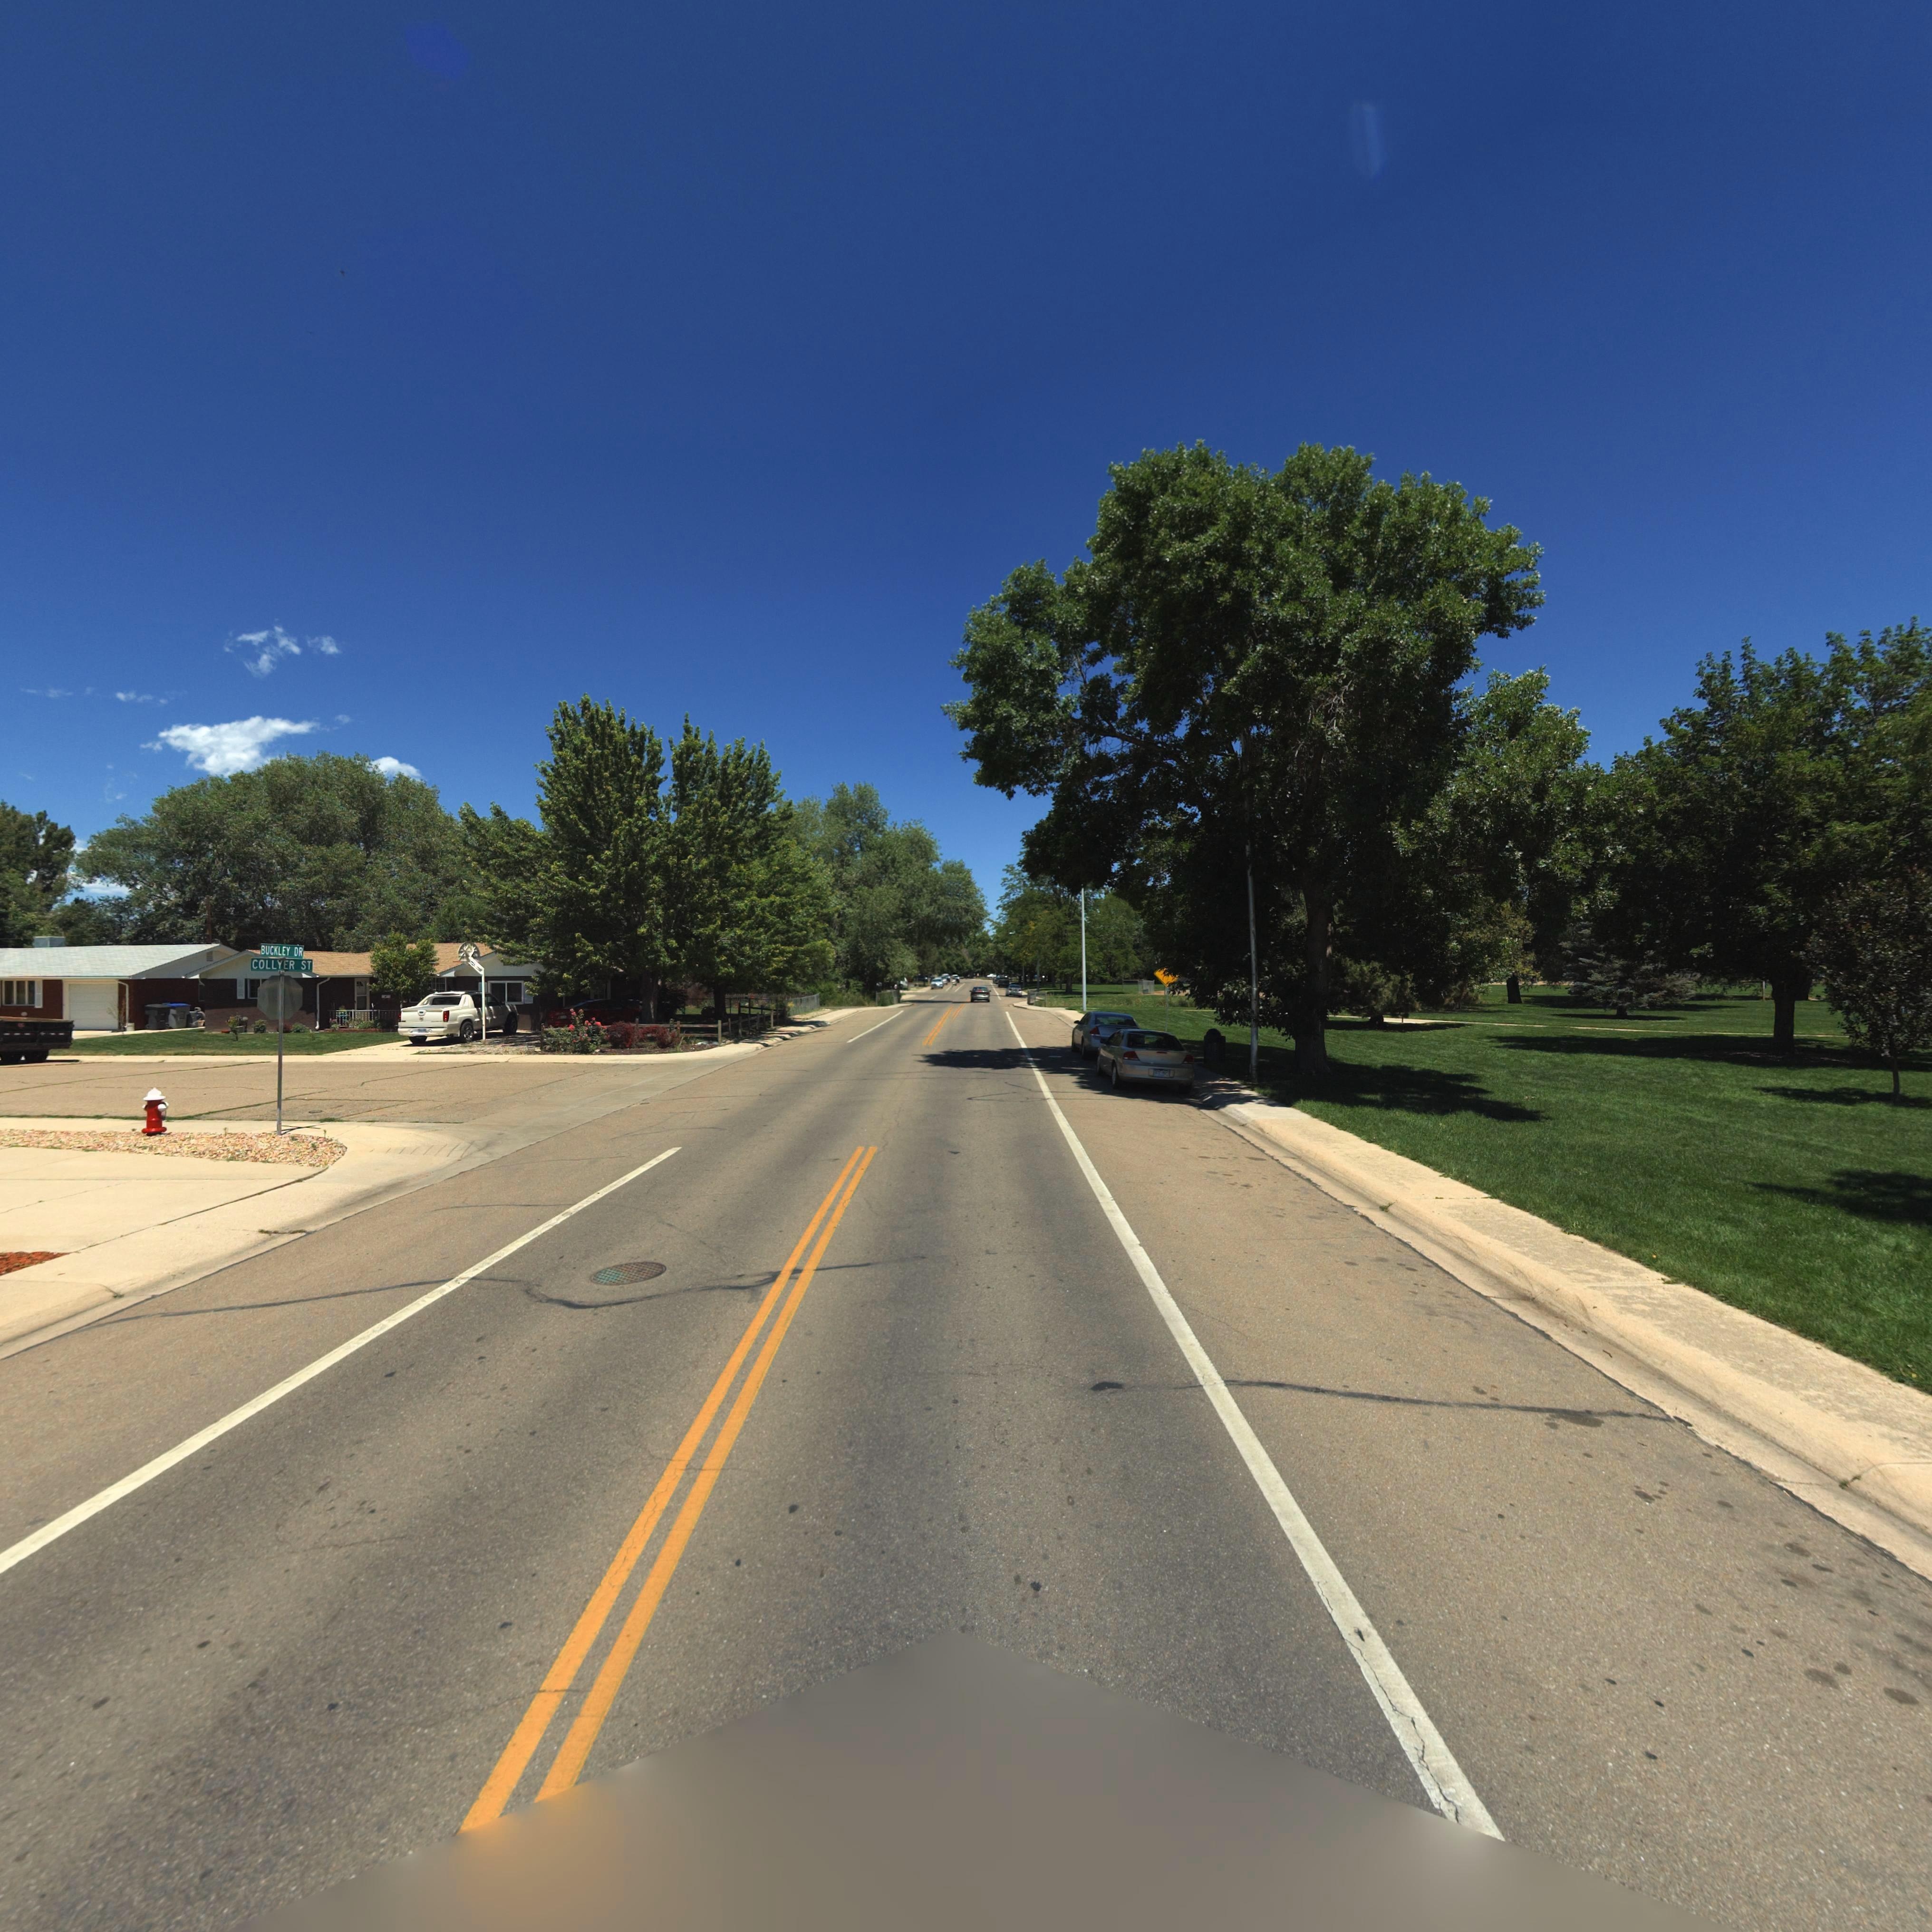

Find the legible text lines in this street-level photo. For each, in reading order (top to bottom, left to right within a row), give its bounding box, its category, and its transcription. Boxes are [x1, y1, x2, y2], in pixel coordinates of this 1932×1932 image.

[260, 945, 304, 956] StreetName: BUCKLEY DR
[252, 958, 313, 970] StreetName: COLLYER ST